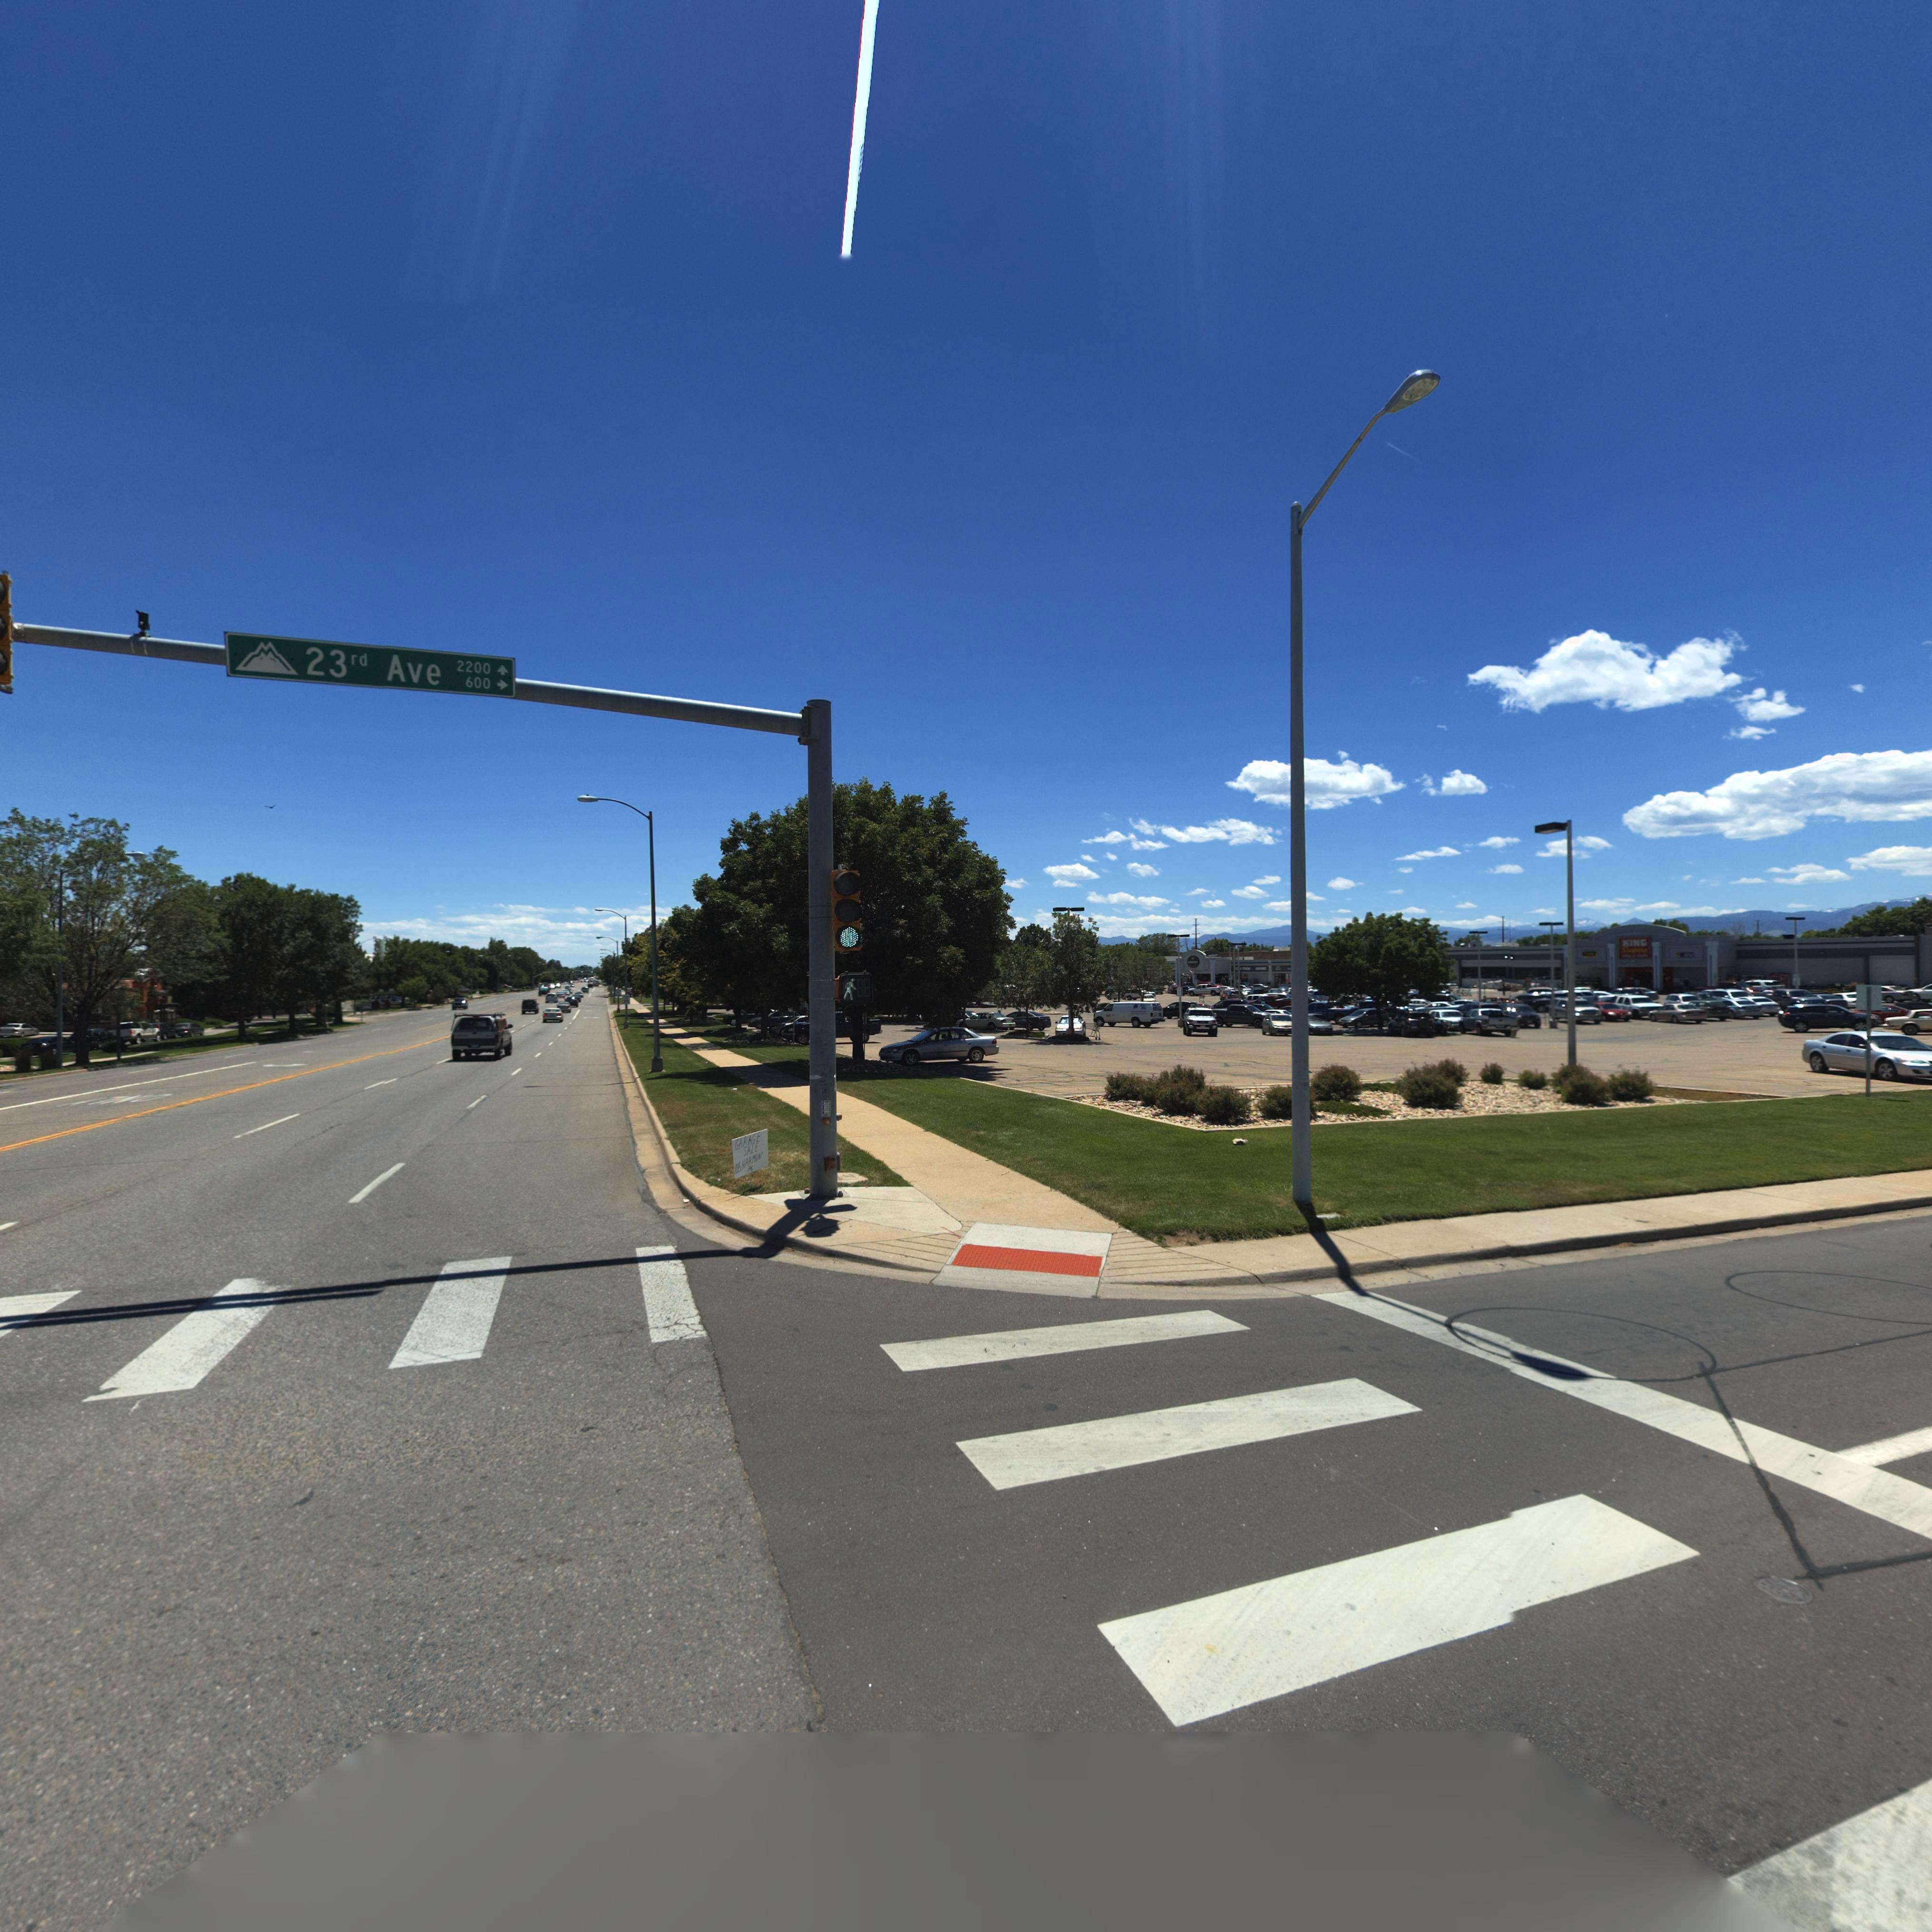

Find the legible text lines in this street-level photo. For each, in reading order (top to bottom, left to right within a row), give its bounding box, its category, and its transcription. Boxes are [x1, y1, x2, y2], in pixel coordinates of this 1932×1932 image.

[305, 646, 442, 686] StreetName: 23rd Ave
[456, 660, 491, 675] StreetNumberRange: 2200
[465, 676, 510, 691] StreetNumberRange: 600->
[1622, 938, 1647, 947] BusinessName: KING
[1622, 946, 1648, 954] BusinessName: S******